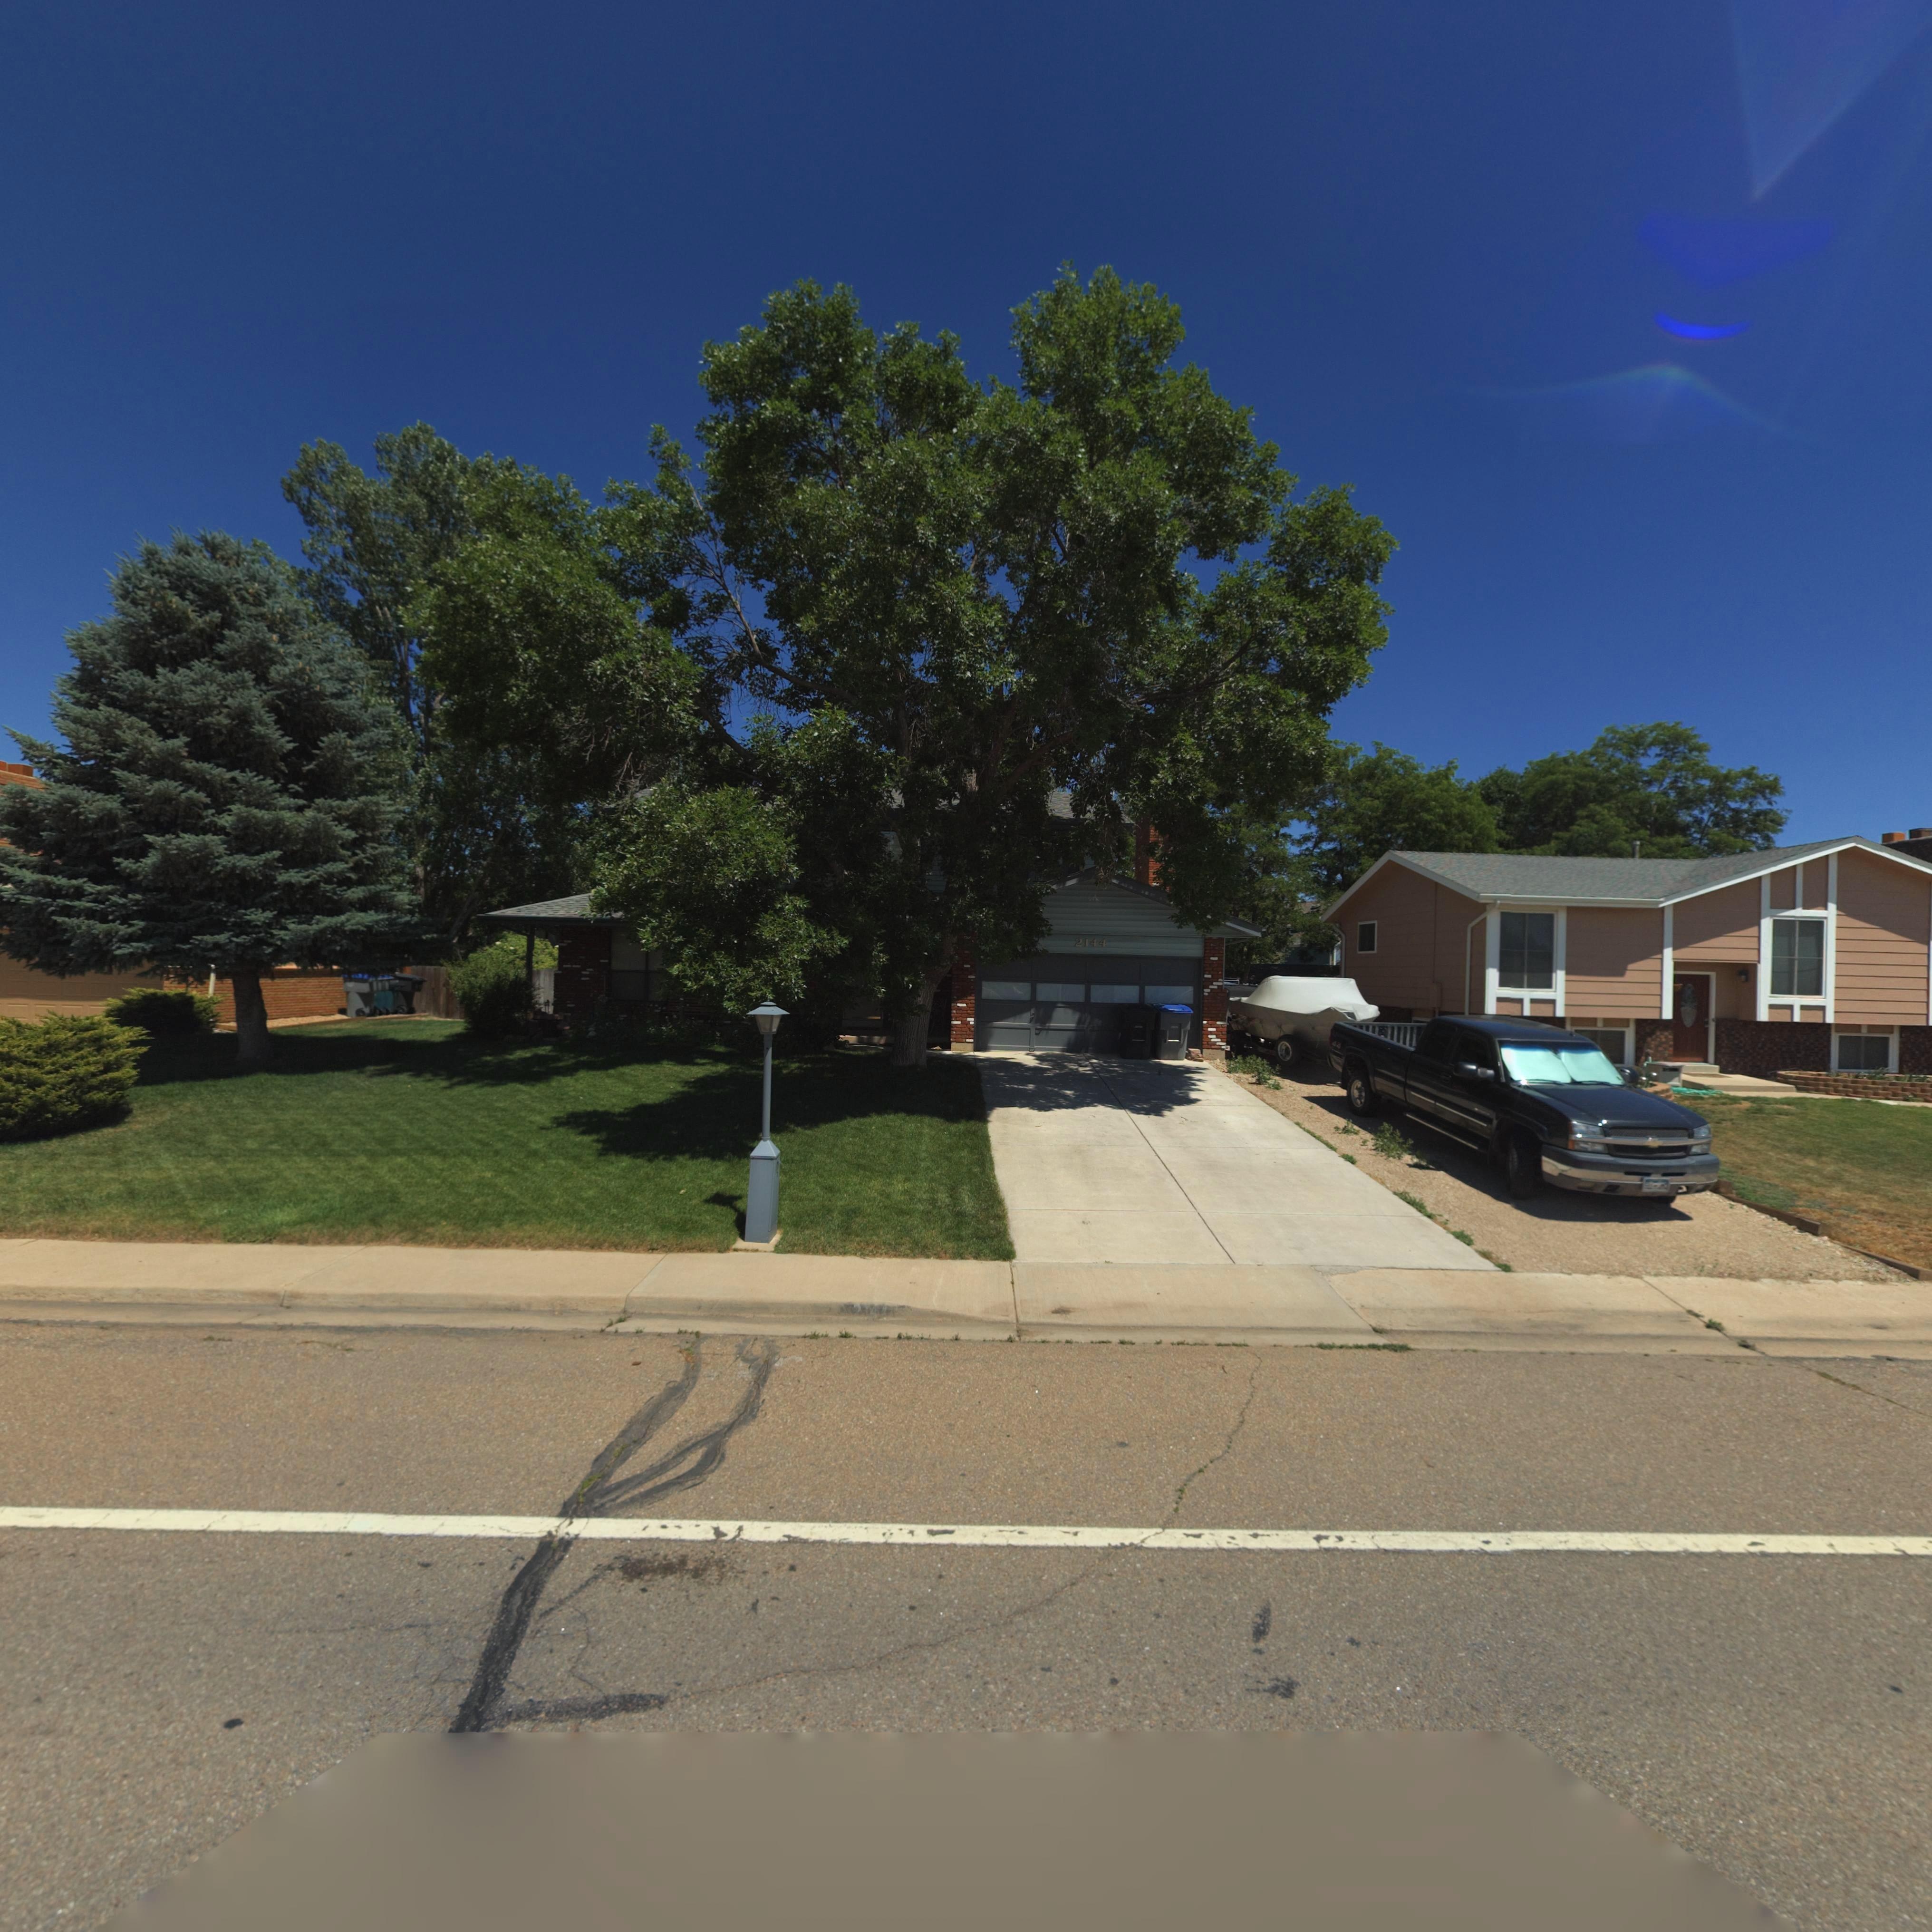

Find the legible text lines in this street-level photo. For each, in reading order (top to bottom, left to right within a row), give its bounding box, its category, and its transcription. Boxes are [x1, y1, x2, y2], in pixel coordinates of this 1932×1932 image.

[1075, 937, 1107, 947] StreetNumber: 2144